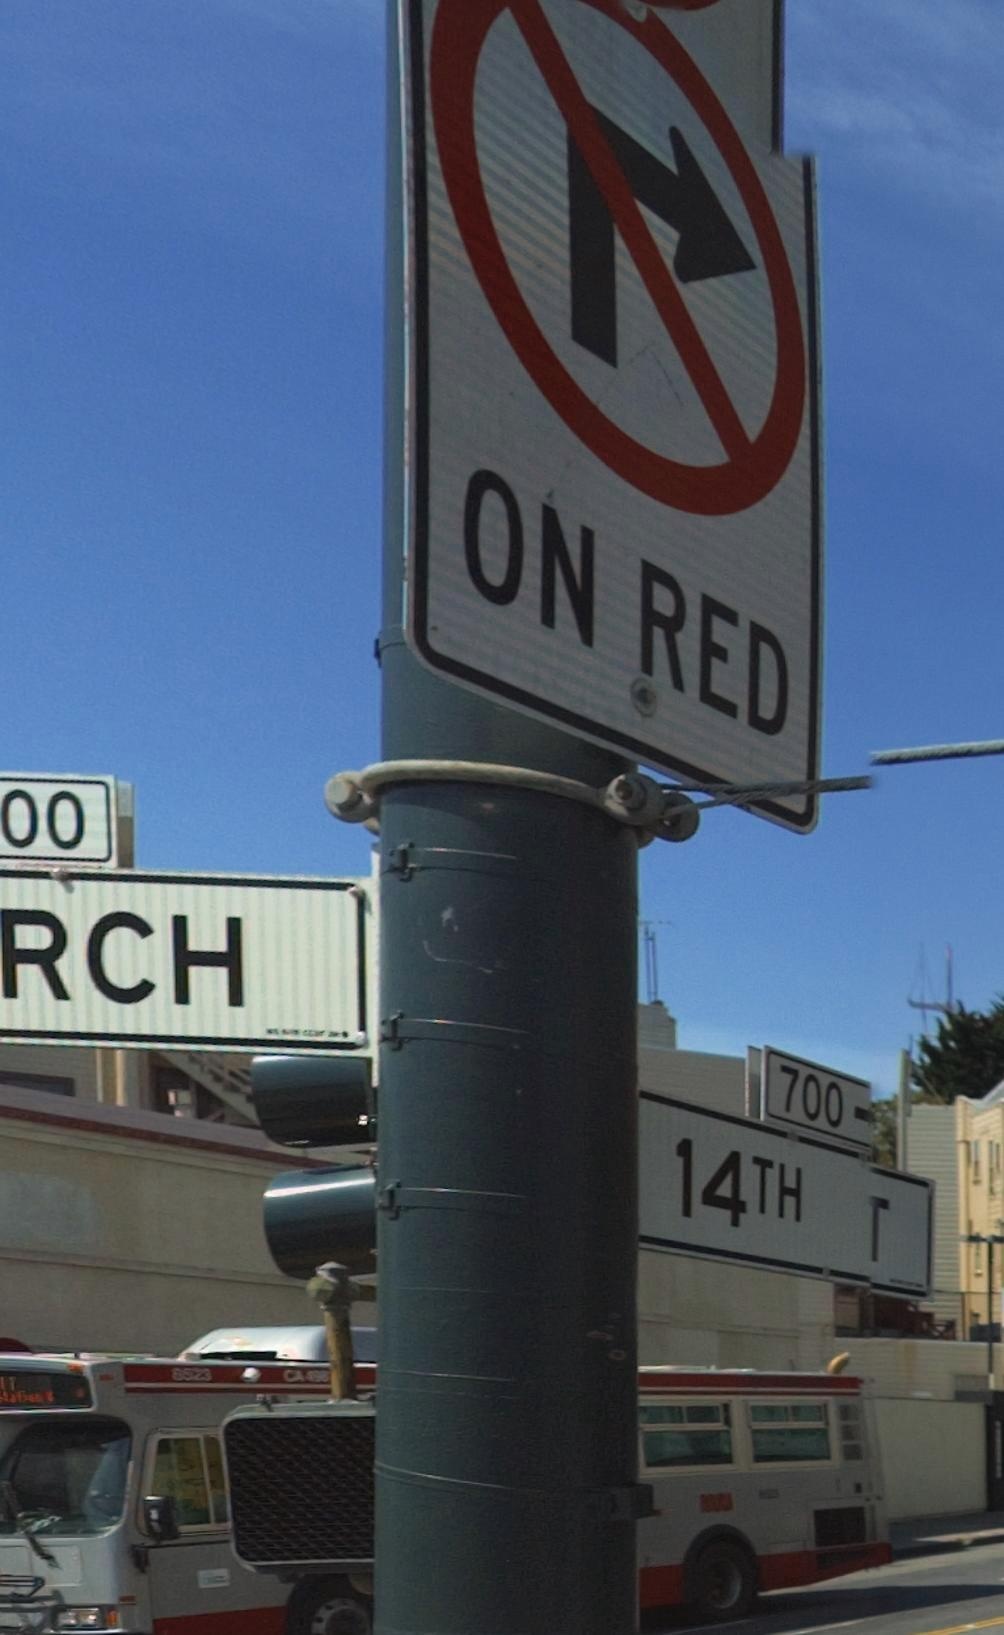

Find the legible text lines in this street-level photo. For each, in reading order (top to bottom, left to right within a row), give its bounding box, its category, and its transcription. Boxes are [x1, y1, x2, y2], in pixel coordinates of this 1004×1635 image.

[451, 445, 801, 757] None: ON RED
[0, 777, 92, 858] StreetNumberRange: 00
[0, 902, 258, 1016] StreetName: RCH
[769, 1053, 878, 1150] StreetNumberRange: 700->
[671, 1125, 808, 1252] StreetName: 14TH
[171, 1365, 215, 1385] None: 8523
[280, 1367, 332, 1387] None: CA 498